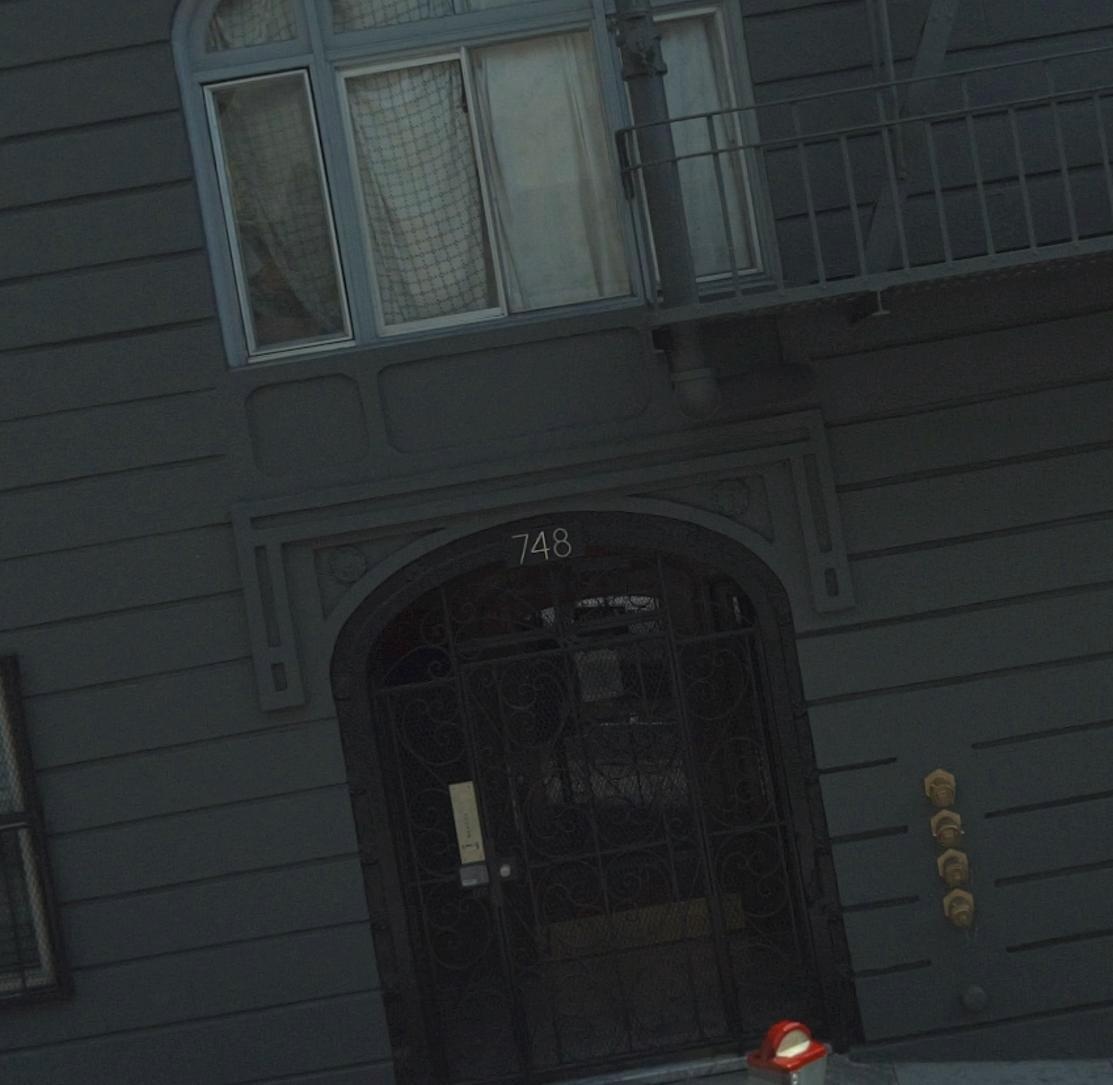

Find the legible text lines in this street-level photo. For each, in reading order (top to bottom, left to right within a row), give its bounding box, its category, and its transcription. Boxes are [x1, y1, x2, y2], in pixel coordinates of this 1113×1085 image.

[507, 521, 577, 570] StreetNumber: 748